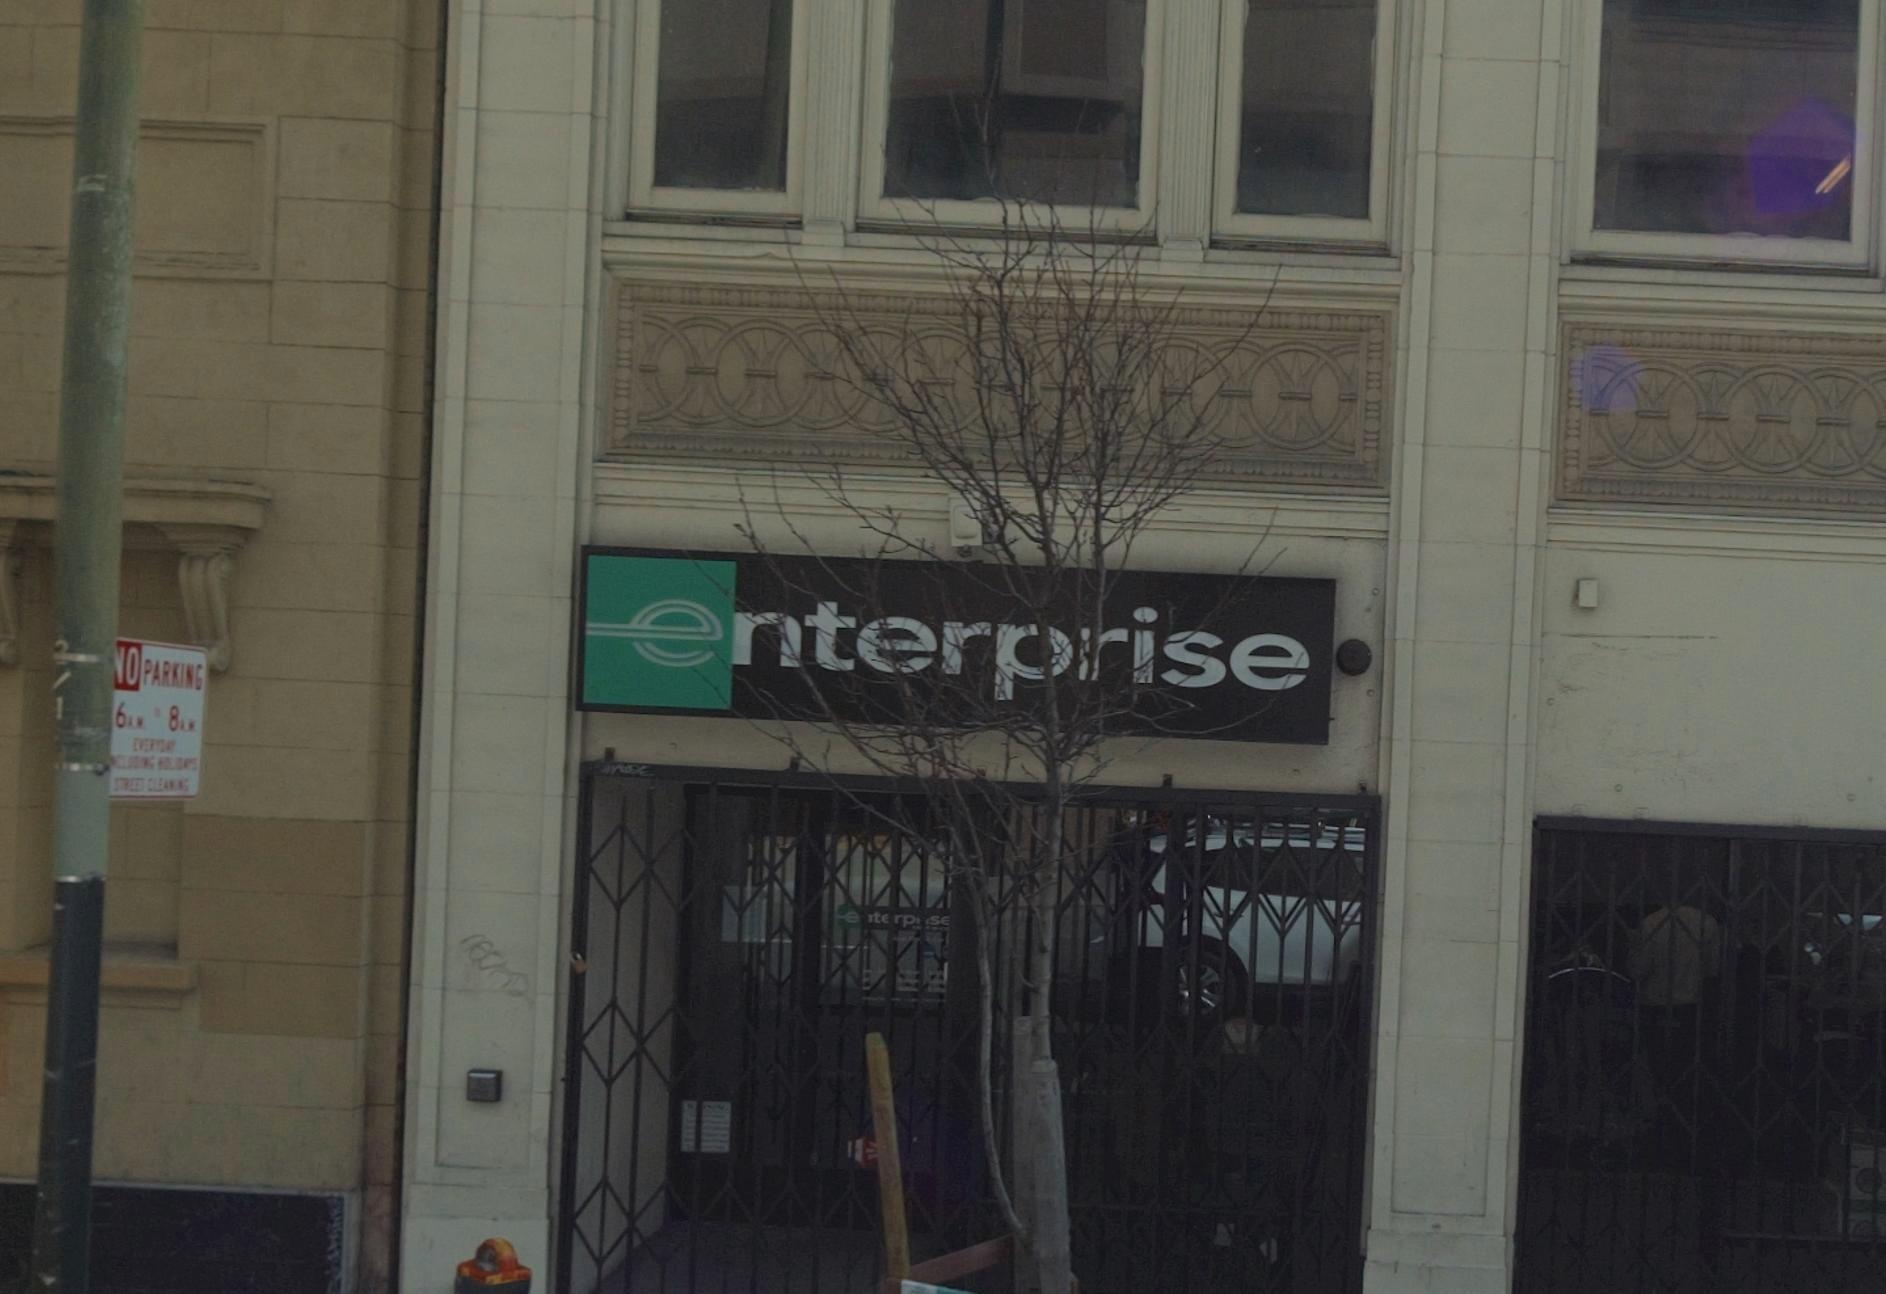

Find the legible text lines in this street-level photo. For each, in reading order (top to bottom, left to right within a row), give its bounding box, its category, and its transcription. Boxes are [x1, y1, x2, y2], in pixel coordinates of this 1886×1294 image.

[122, 639, 206, 695] None: O PARKING
[625, 588, 1316, 709] BusinessName: Enterprise
[112, 698, 148, 733] None: 6AM
[166, 700, 199, 735] None: 8AM